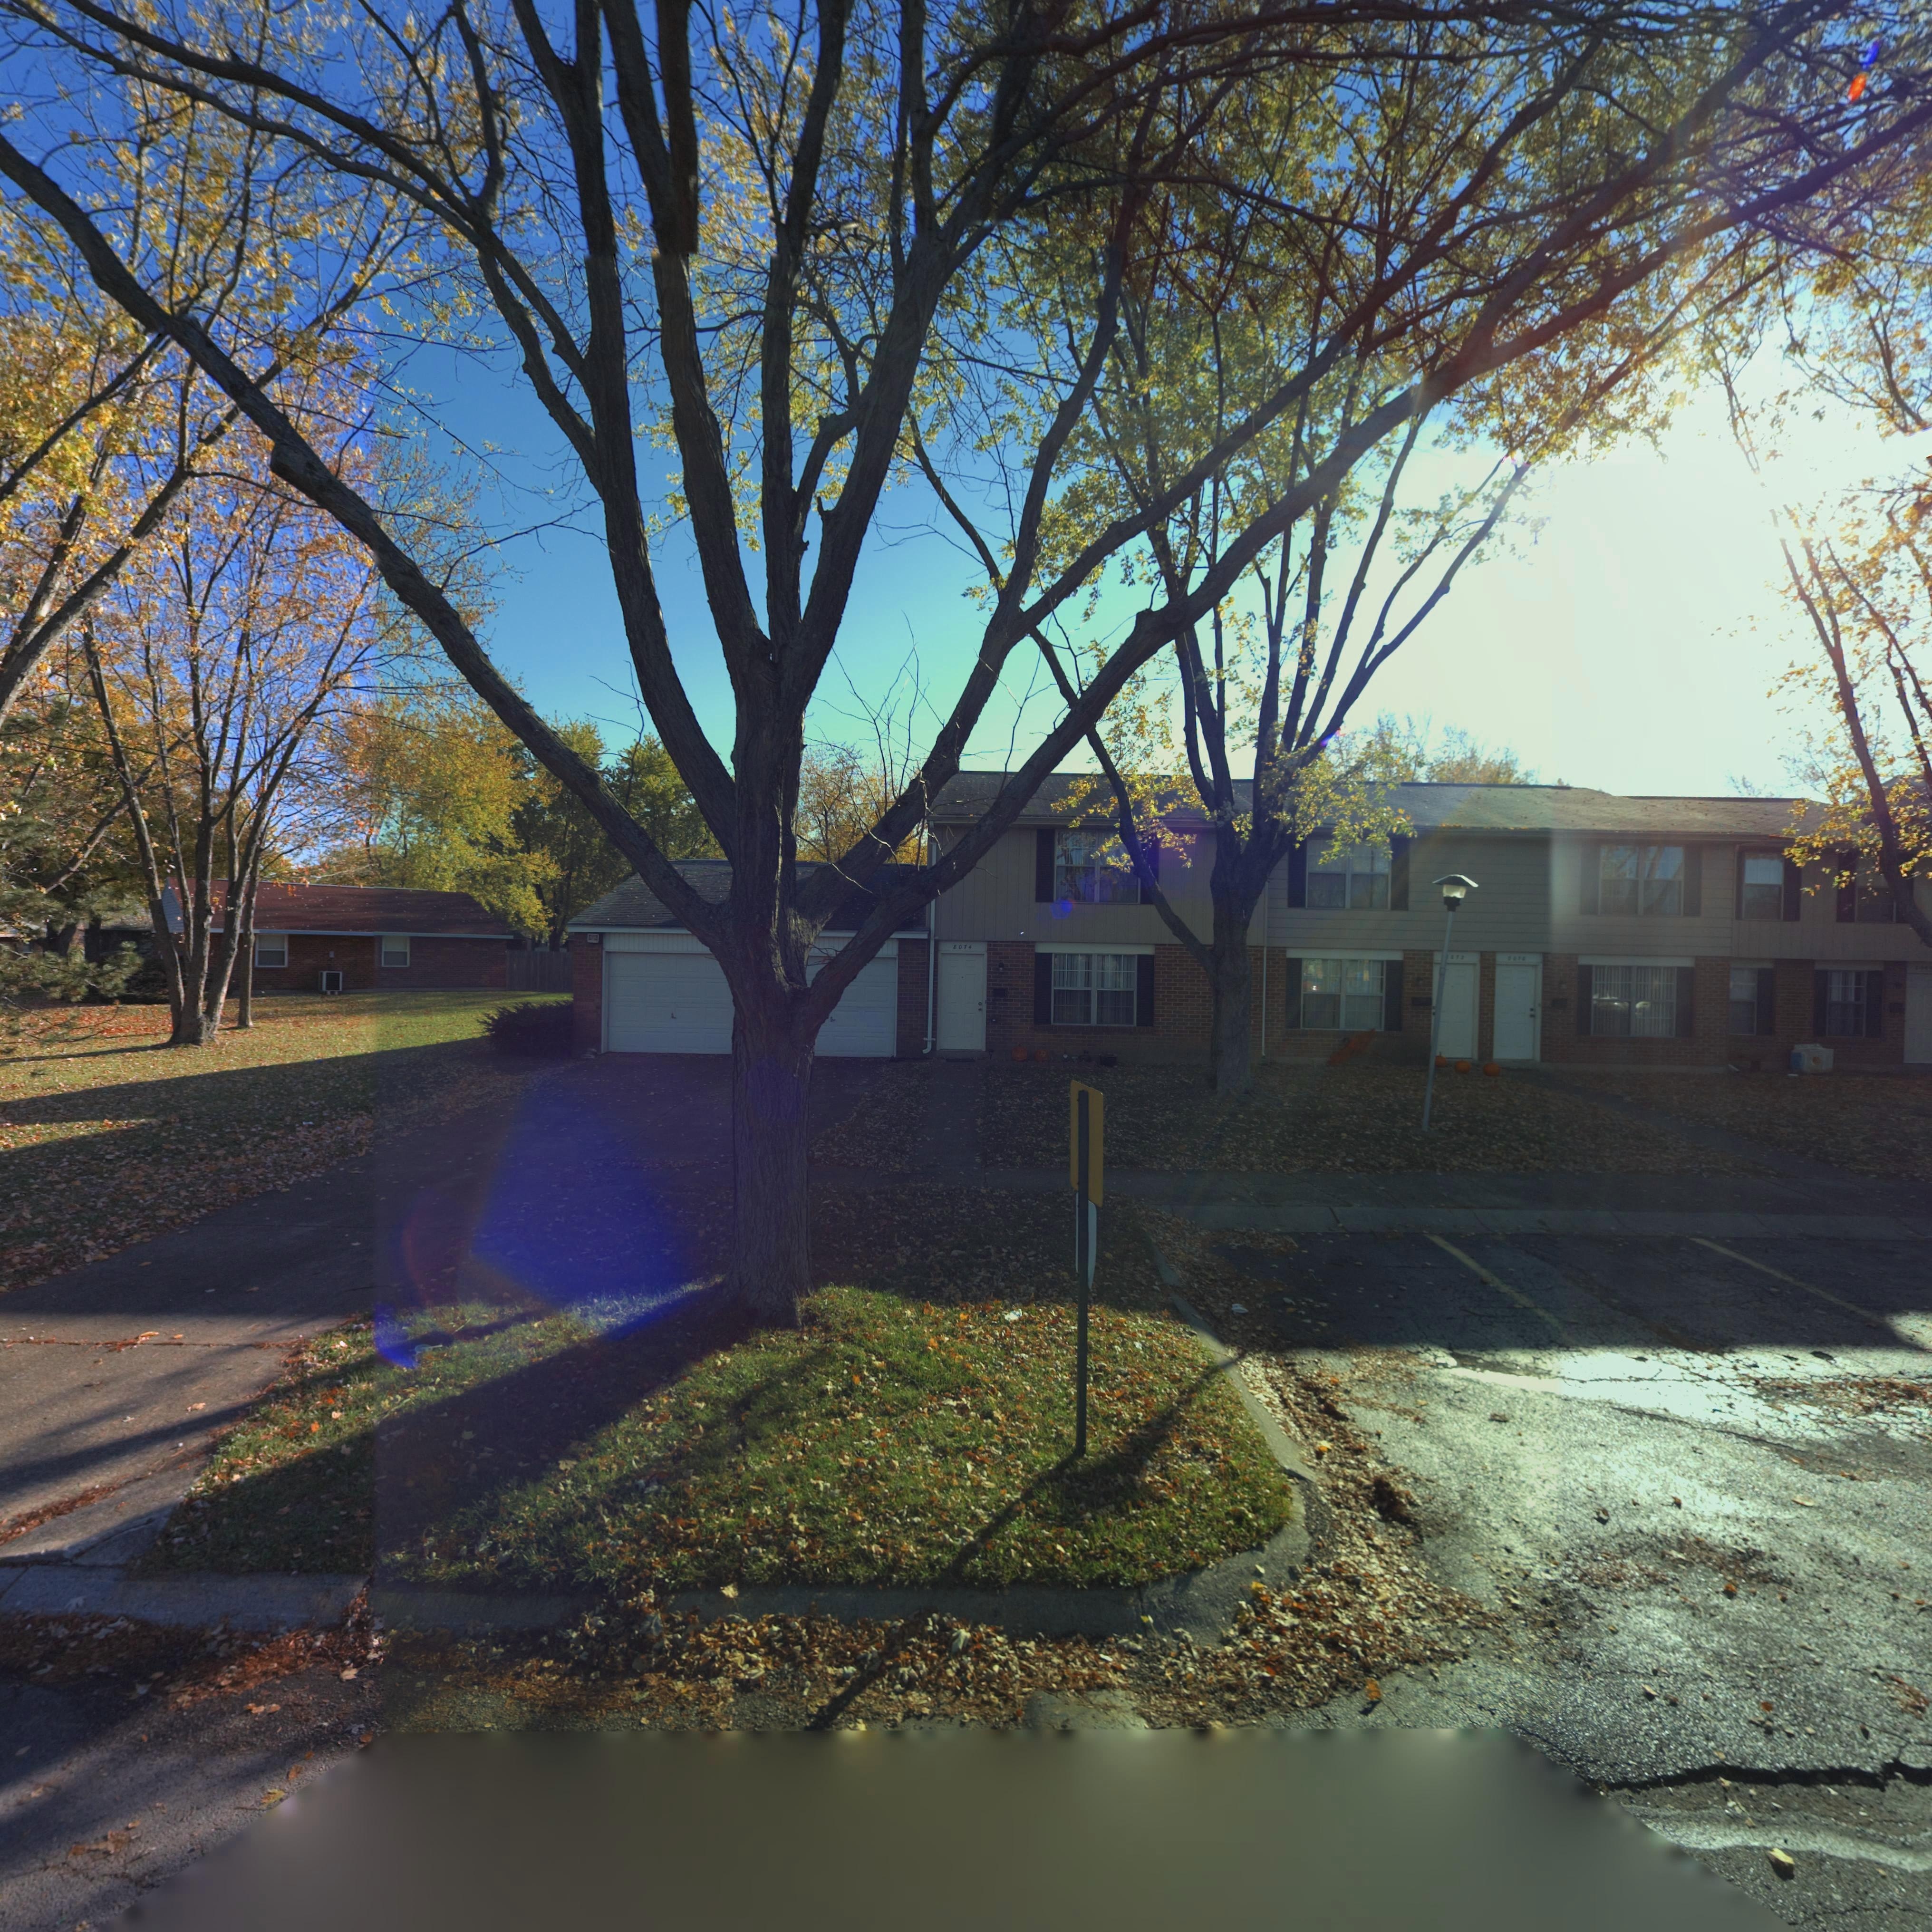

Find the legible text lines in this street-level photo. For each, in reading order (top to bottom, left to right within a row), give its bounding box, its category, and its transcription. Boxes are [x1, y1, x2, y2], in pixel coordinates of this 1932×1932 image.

[952, 944, 972, 950] StreetNumber: 8074
[1449, 954, 1465, 960] StreetNumber: 072
[1507, 955, 1526, 961] StreetNumber: 8070
[1914, 965, 1919, 971] StreetNumber: 8